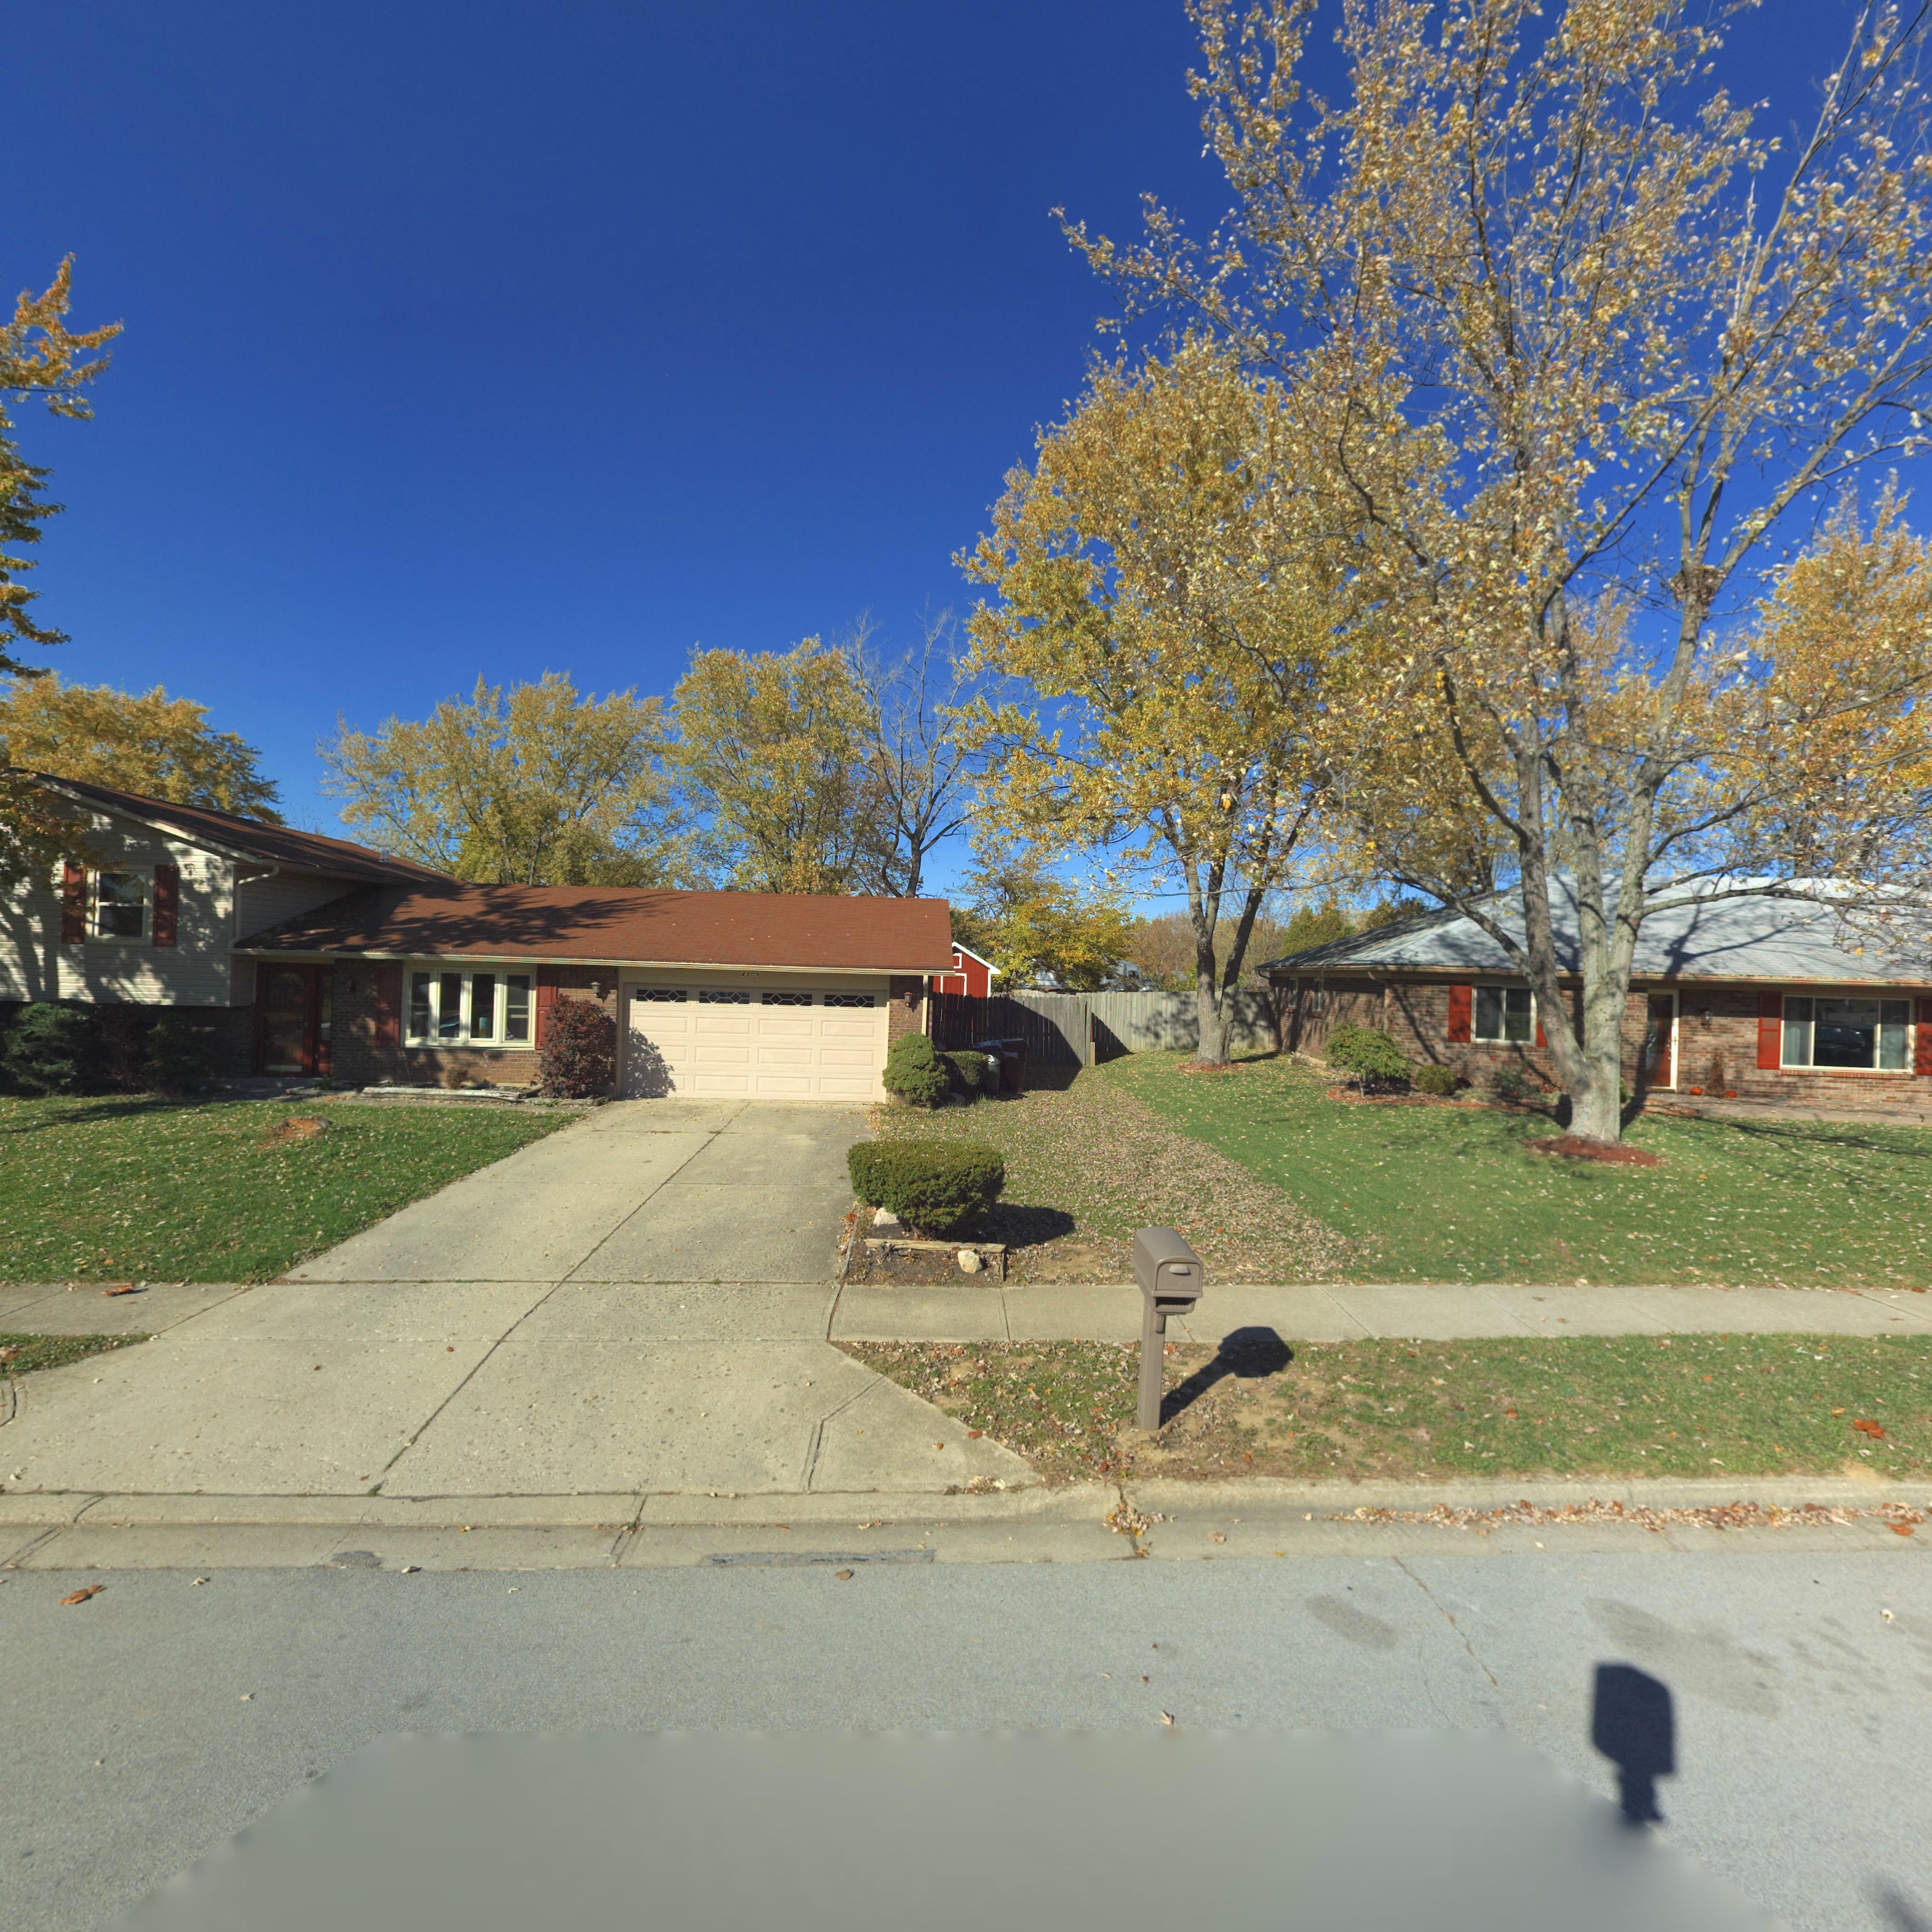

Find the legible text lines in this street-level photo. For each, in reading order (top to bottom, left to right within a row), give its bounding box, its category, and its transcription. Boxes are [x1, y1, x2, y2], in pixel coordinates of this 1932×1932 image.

[741, 971, 759, 977] StreetNumber: 4309